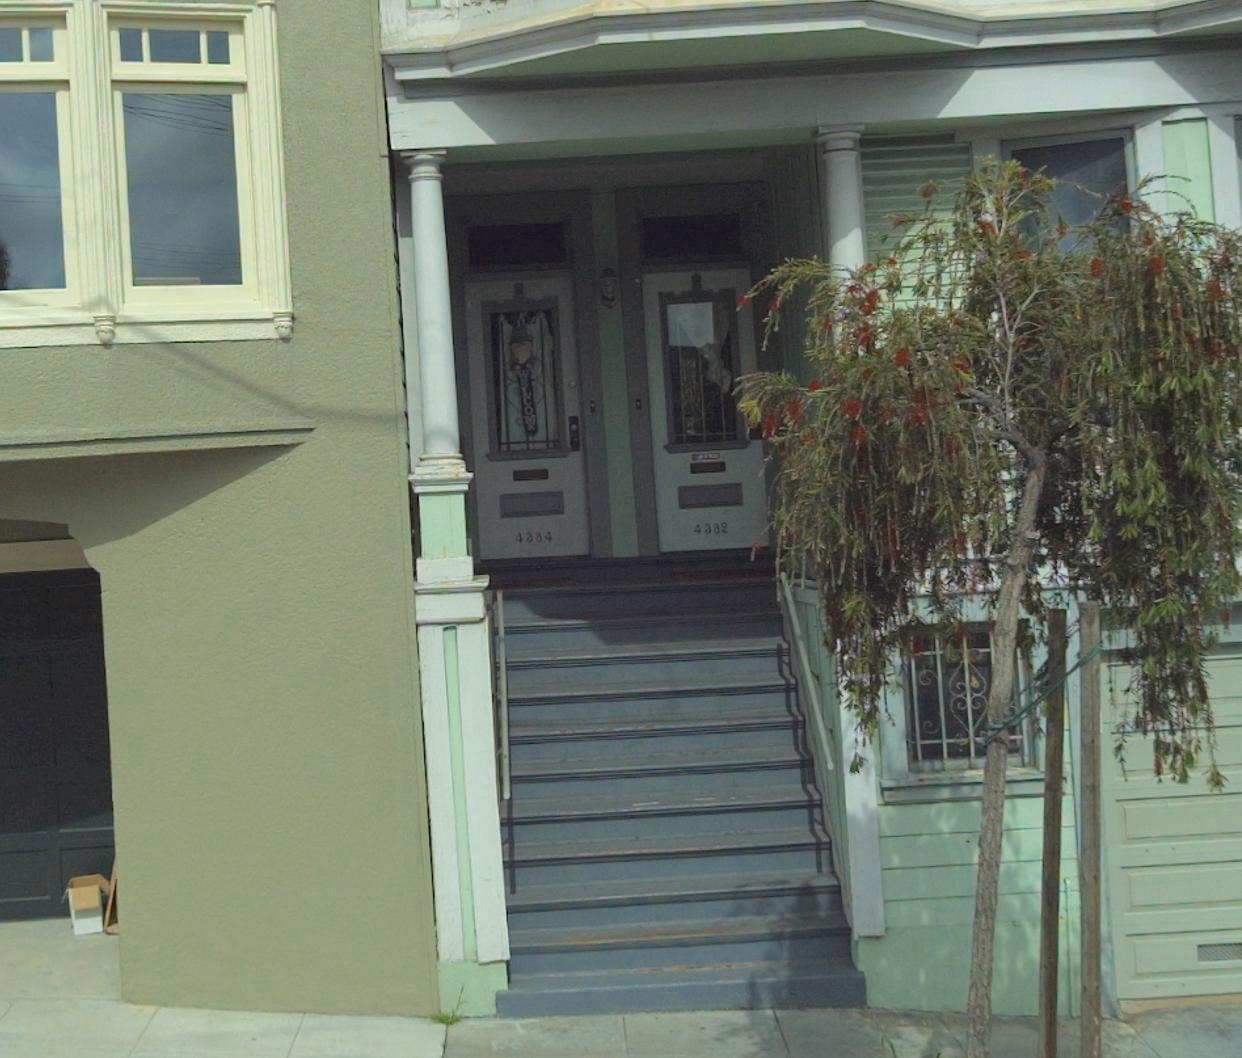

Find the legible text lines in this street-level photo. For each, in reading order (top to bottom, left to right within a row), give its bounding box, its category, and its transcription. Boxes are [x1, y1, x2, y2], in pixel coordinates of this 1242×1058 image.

[513, 527, 555, 547] StreetNumber: 4384
[690, 519, 731, 538] StreetNumber: 4382